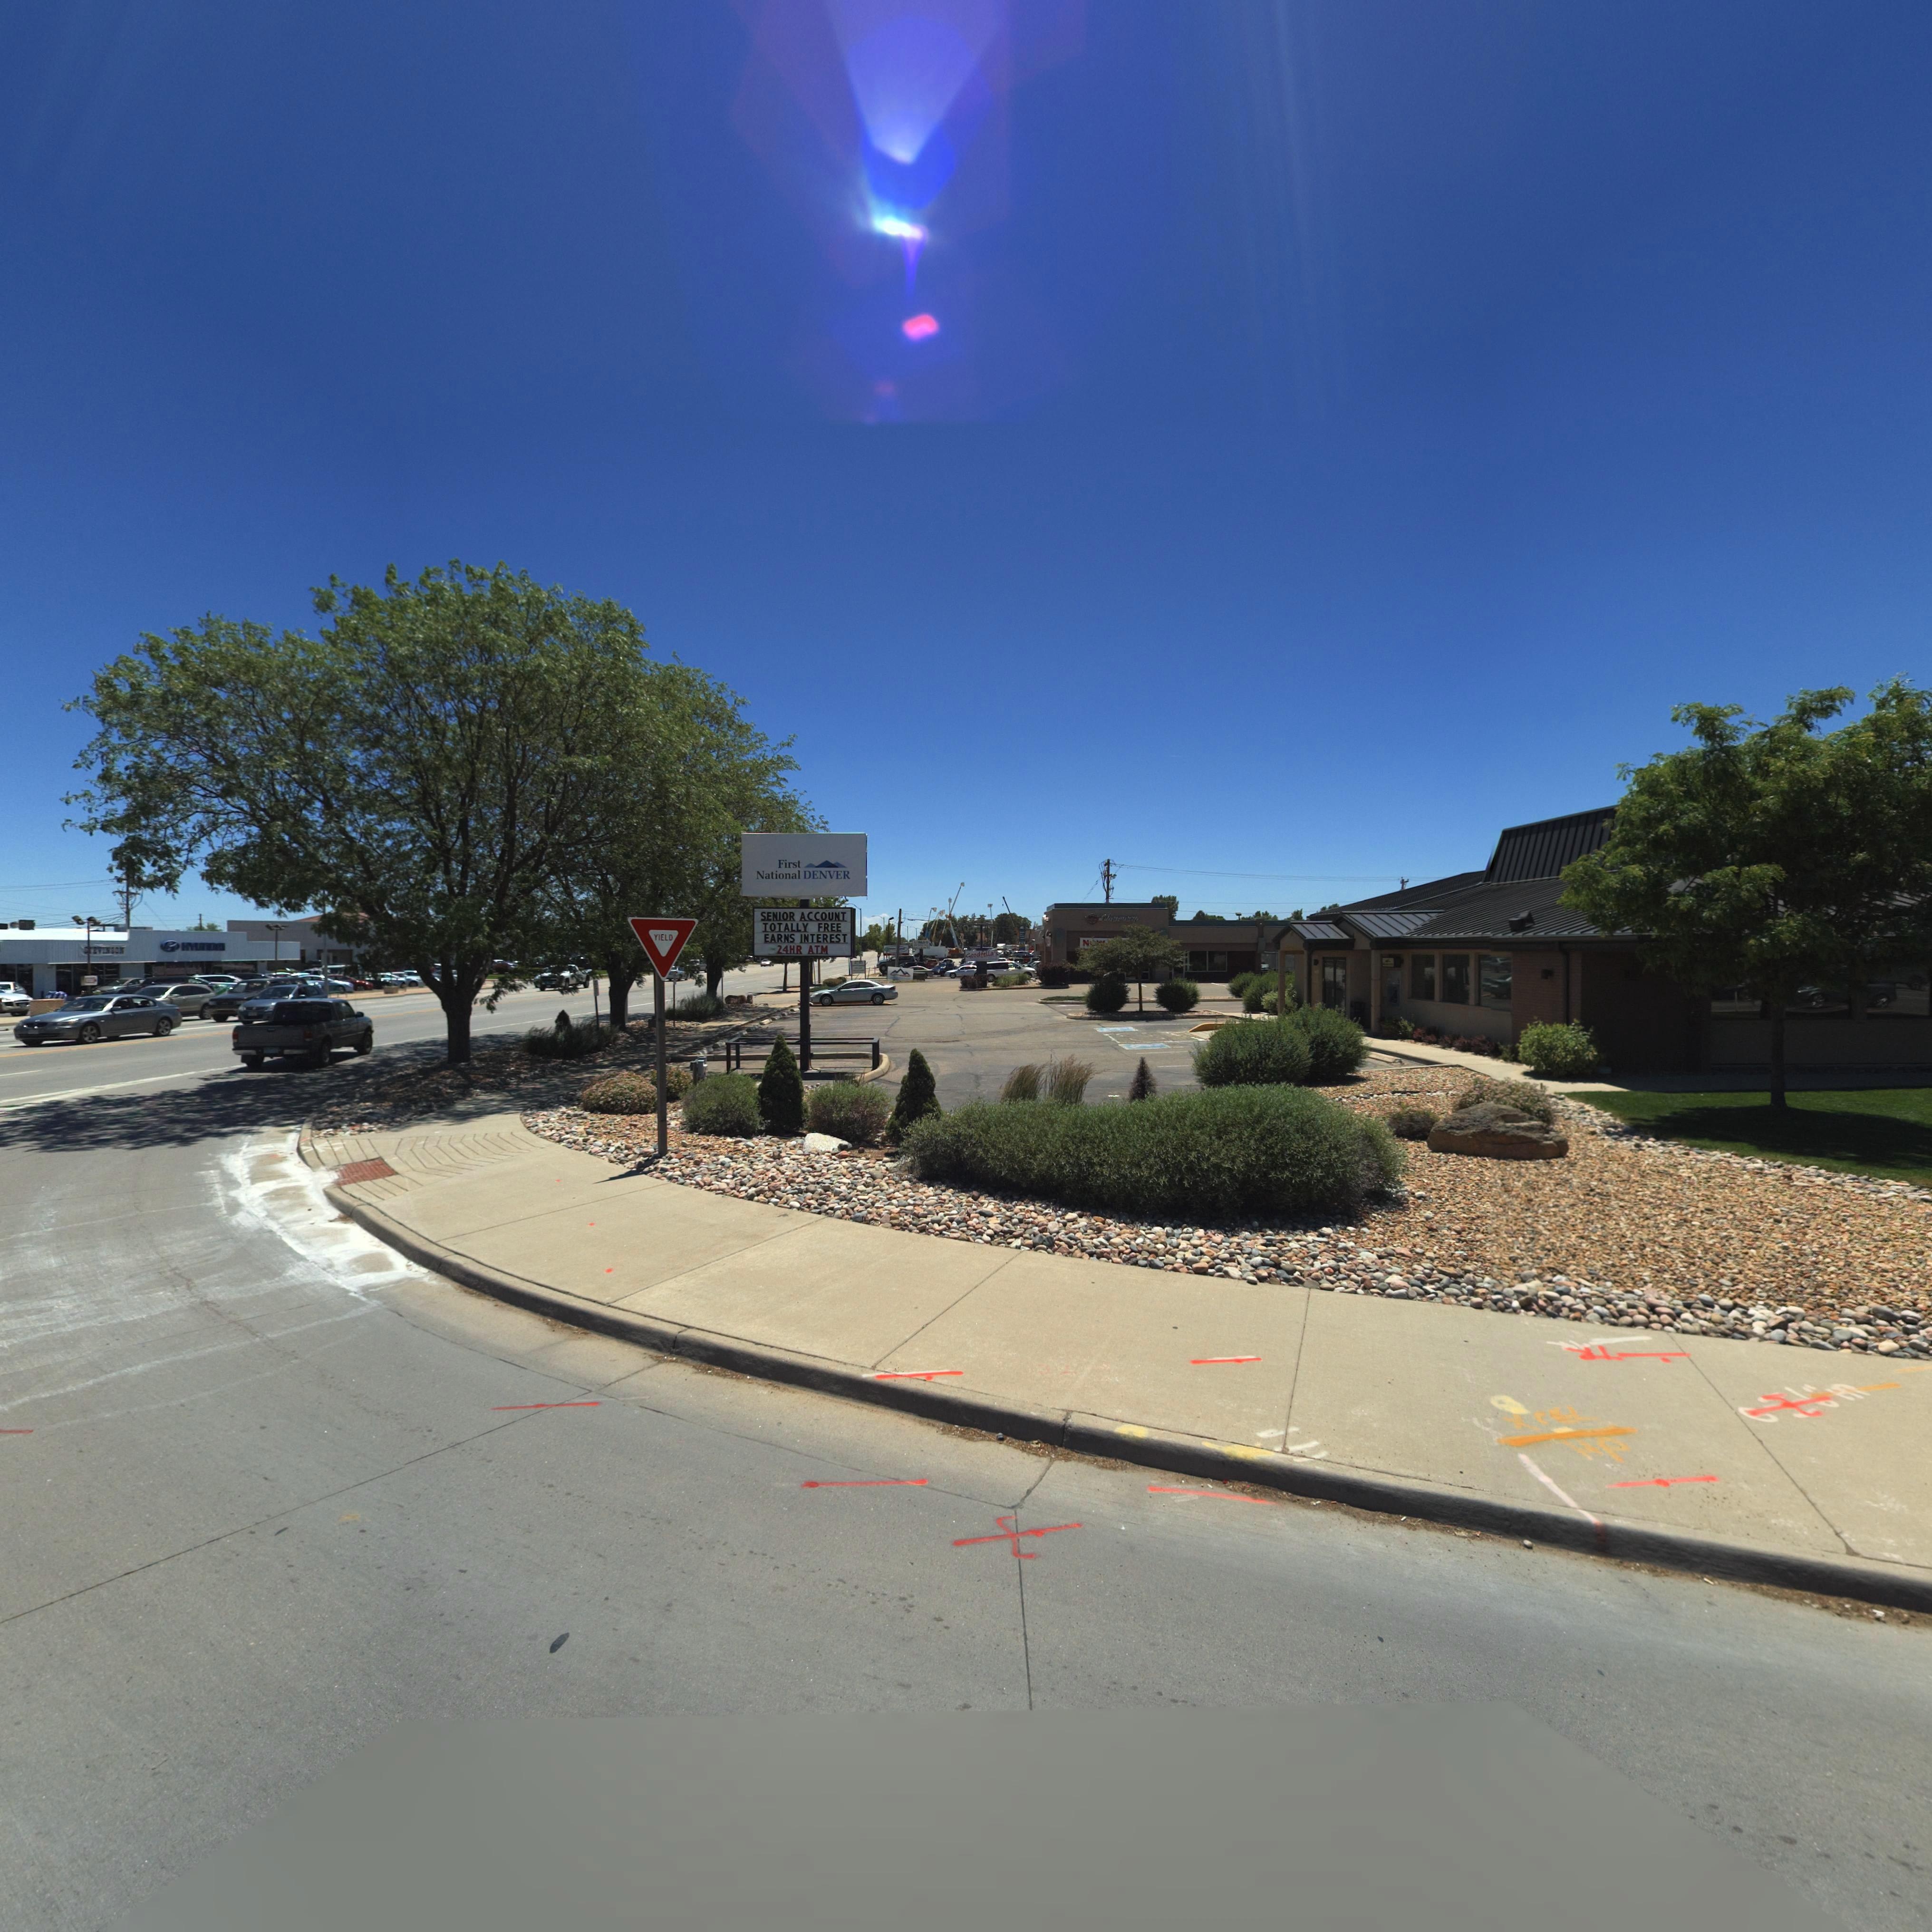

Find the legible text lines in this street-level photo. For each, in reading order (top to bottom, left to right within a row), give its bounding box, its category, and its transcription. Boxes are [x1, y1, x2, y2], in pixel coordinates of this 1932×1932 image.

[777, 860, 801, 869] BusinessName: First
[755, 869, 850, 879] BusinessName: National DENVER
[83, 946, 125, 955] BusinessName: S*EVINSON
[181, 942, 225, 951] BusinessName: HYUNDAI